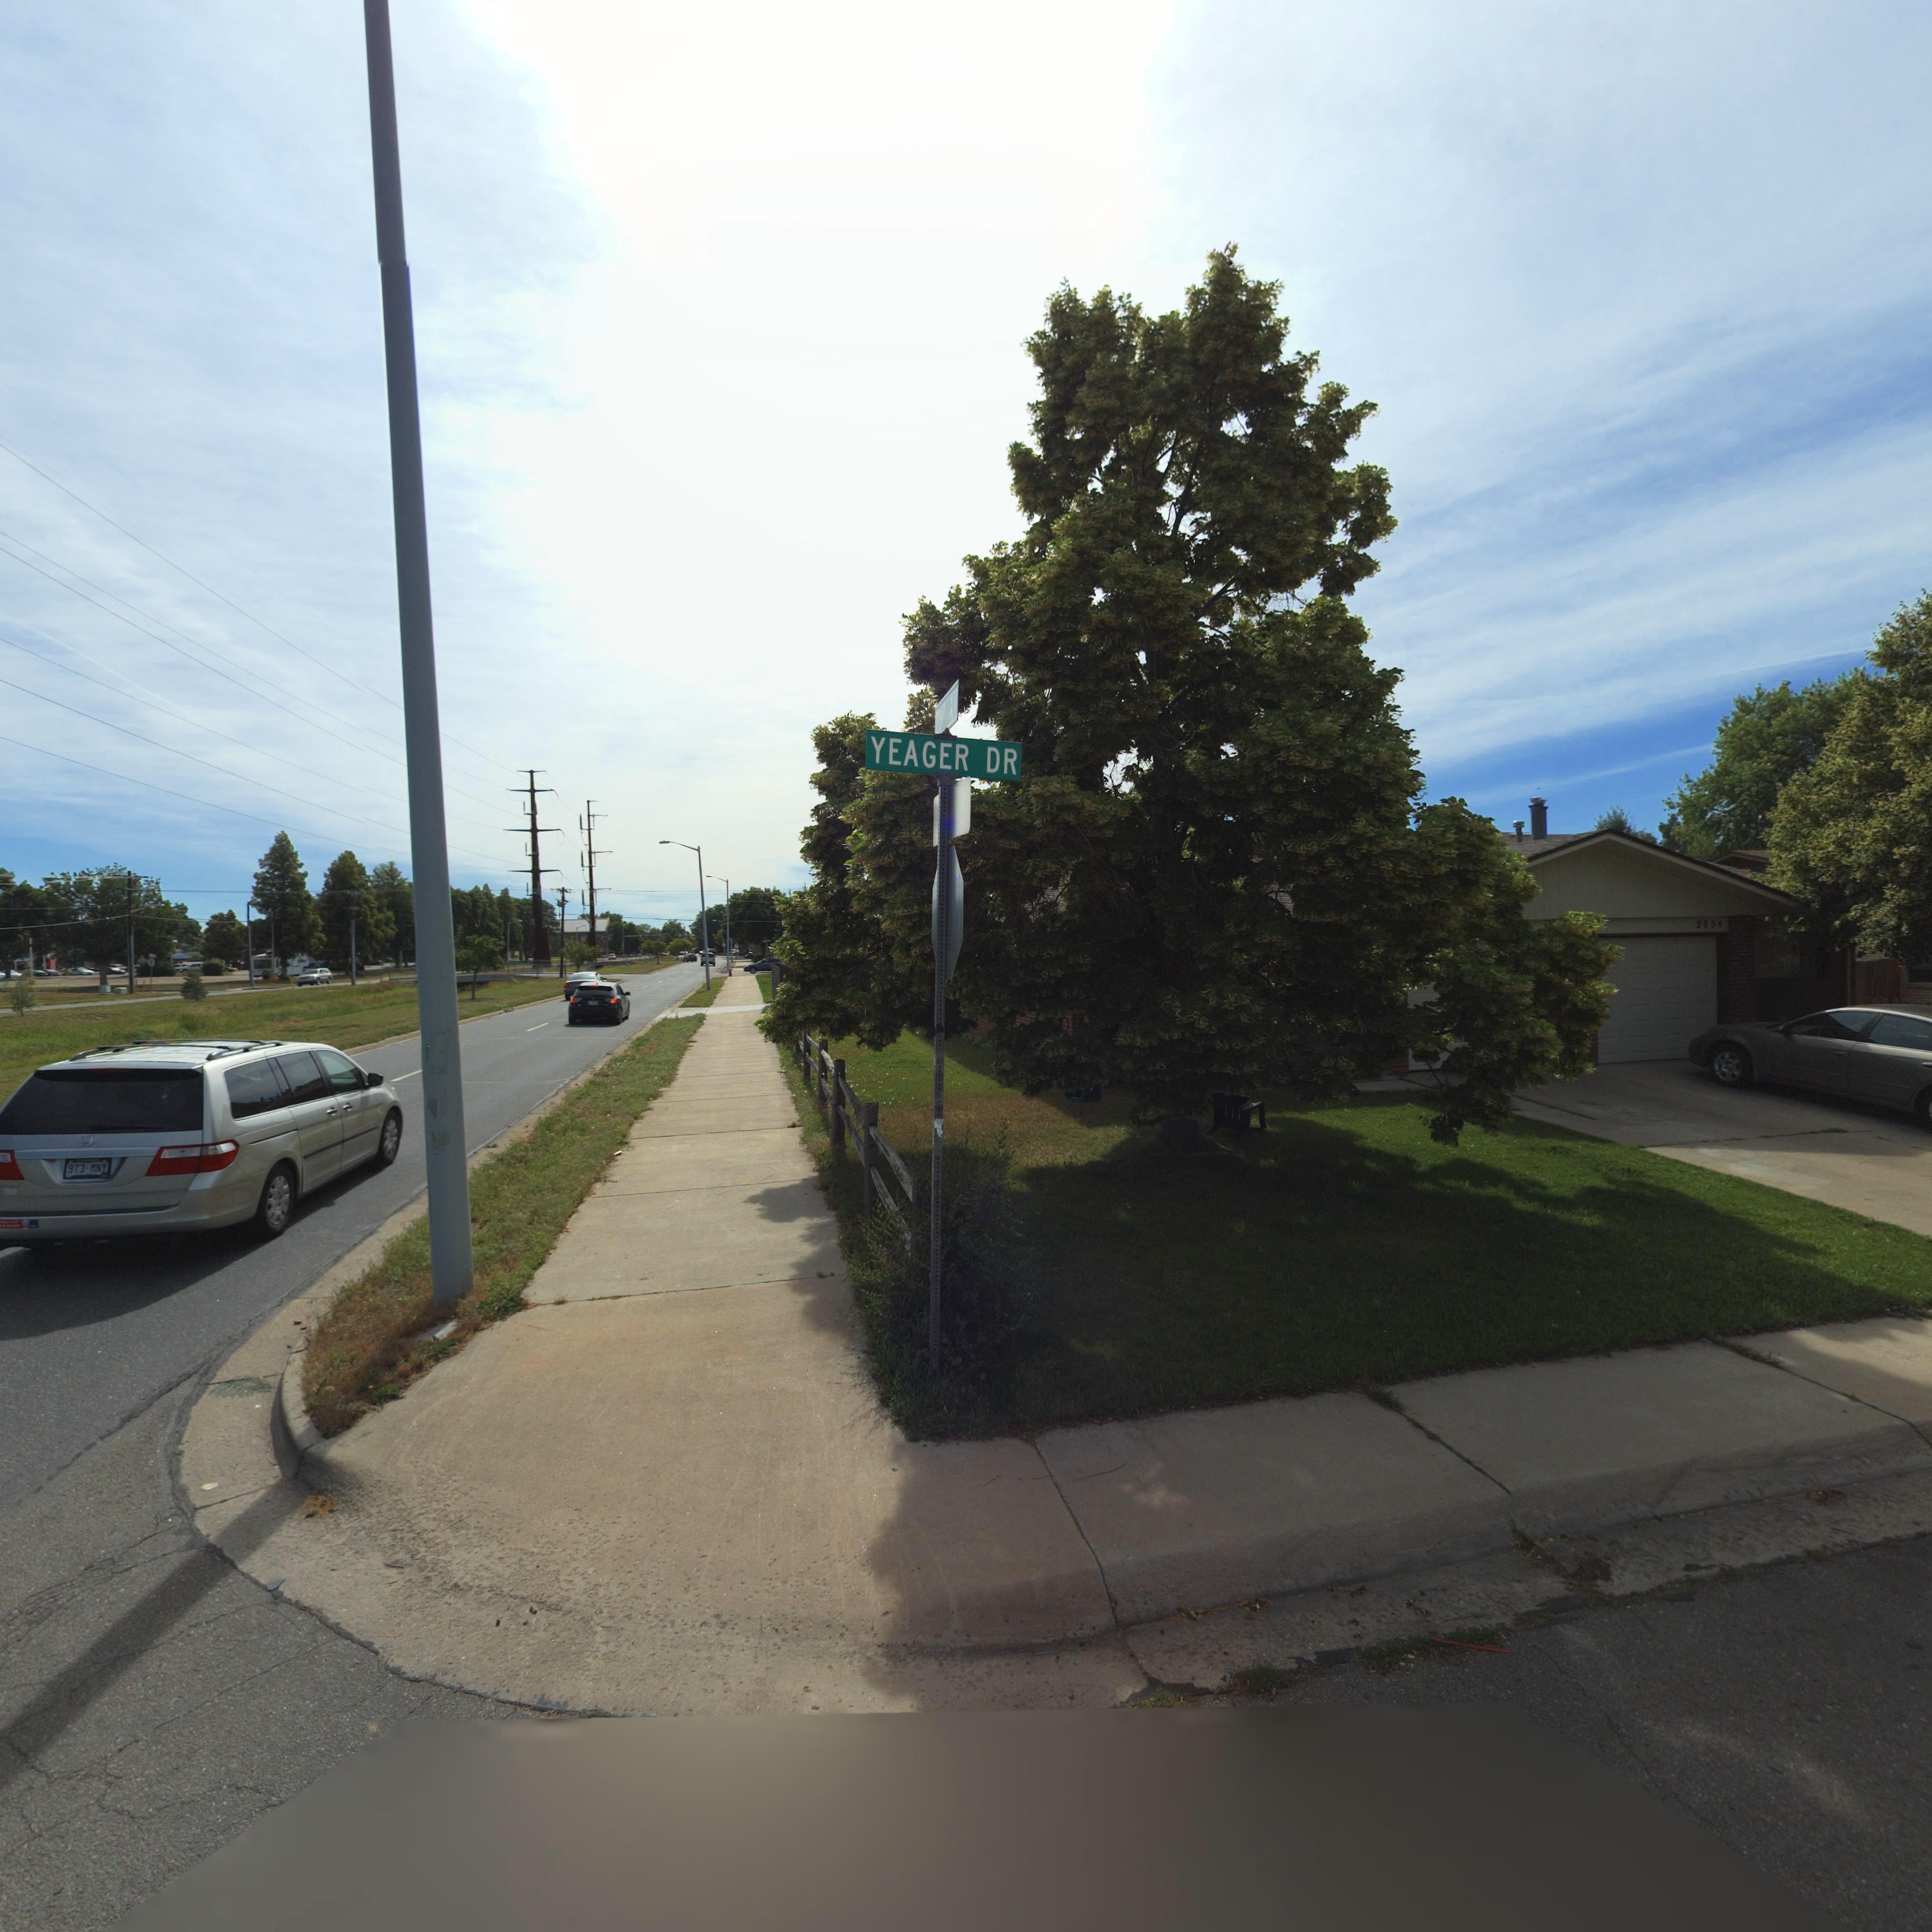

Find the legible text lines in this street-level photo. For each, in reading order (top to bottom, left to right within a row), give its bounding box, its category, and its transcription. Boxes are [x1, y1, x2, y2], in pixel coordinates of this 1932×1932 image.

[934, 687, 957, 734] StreetName: 21ST AV
[869, 734, 1018, 776] StreetName: YEAGER DR
[1695, 919, 1723, 929] StreetNumber: 2054